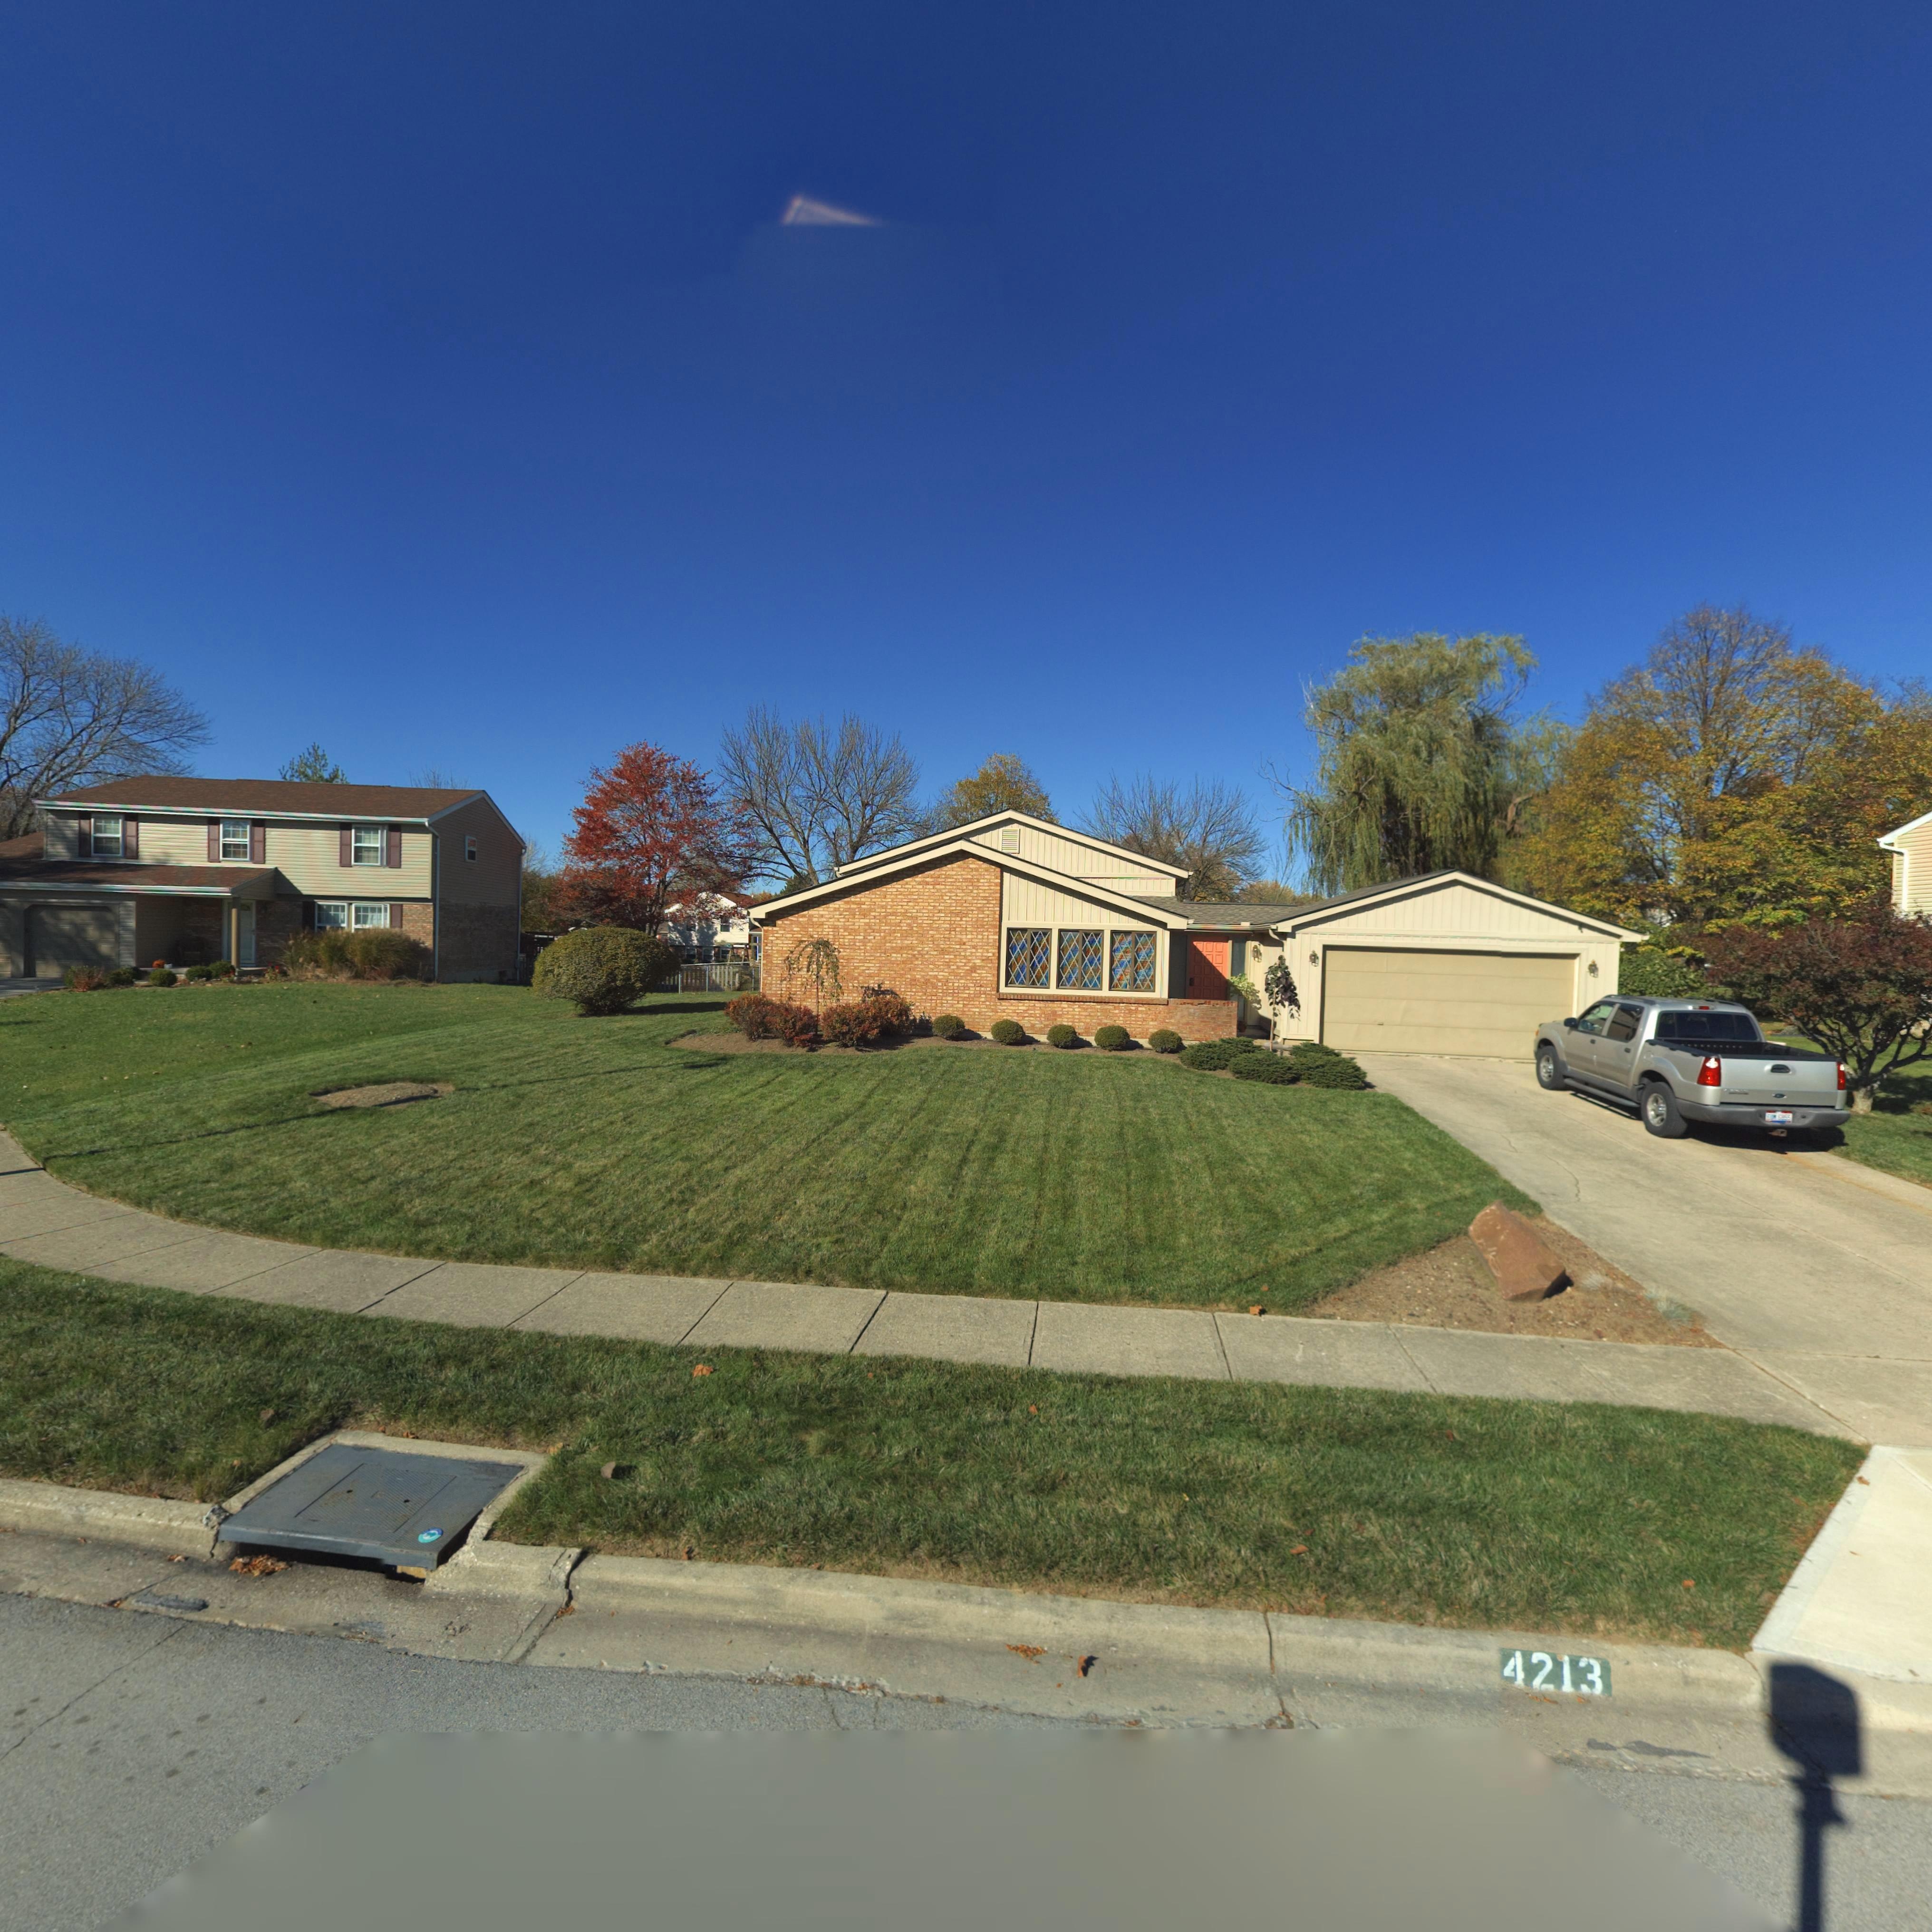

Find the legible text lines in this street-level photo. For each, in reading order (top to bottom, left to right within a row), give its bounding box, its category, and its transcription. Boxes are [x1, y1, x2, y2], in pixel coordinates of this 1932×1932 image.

[1777, 1113, 1792, 1121] None: 6855
[1501, 1648, 1607, 1698] StreetNumber: 4213